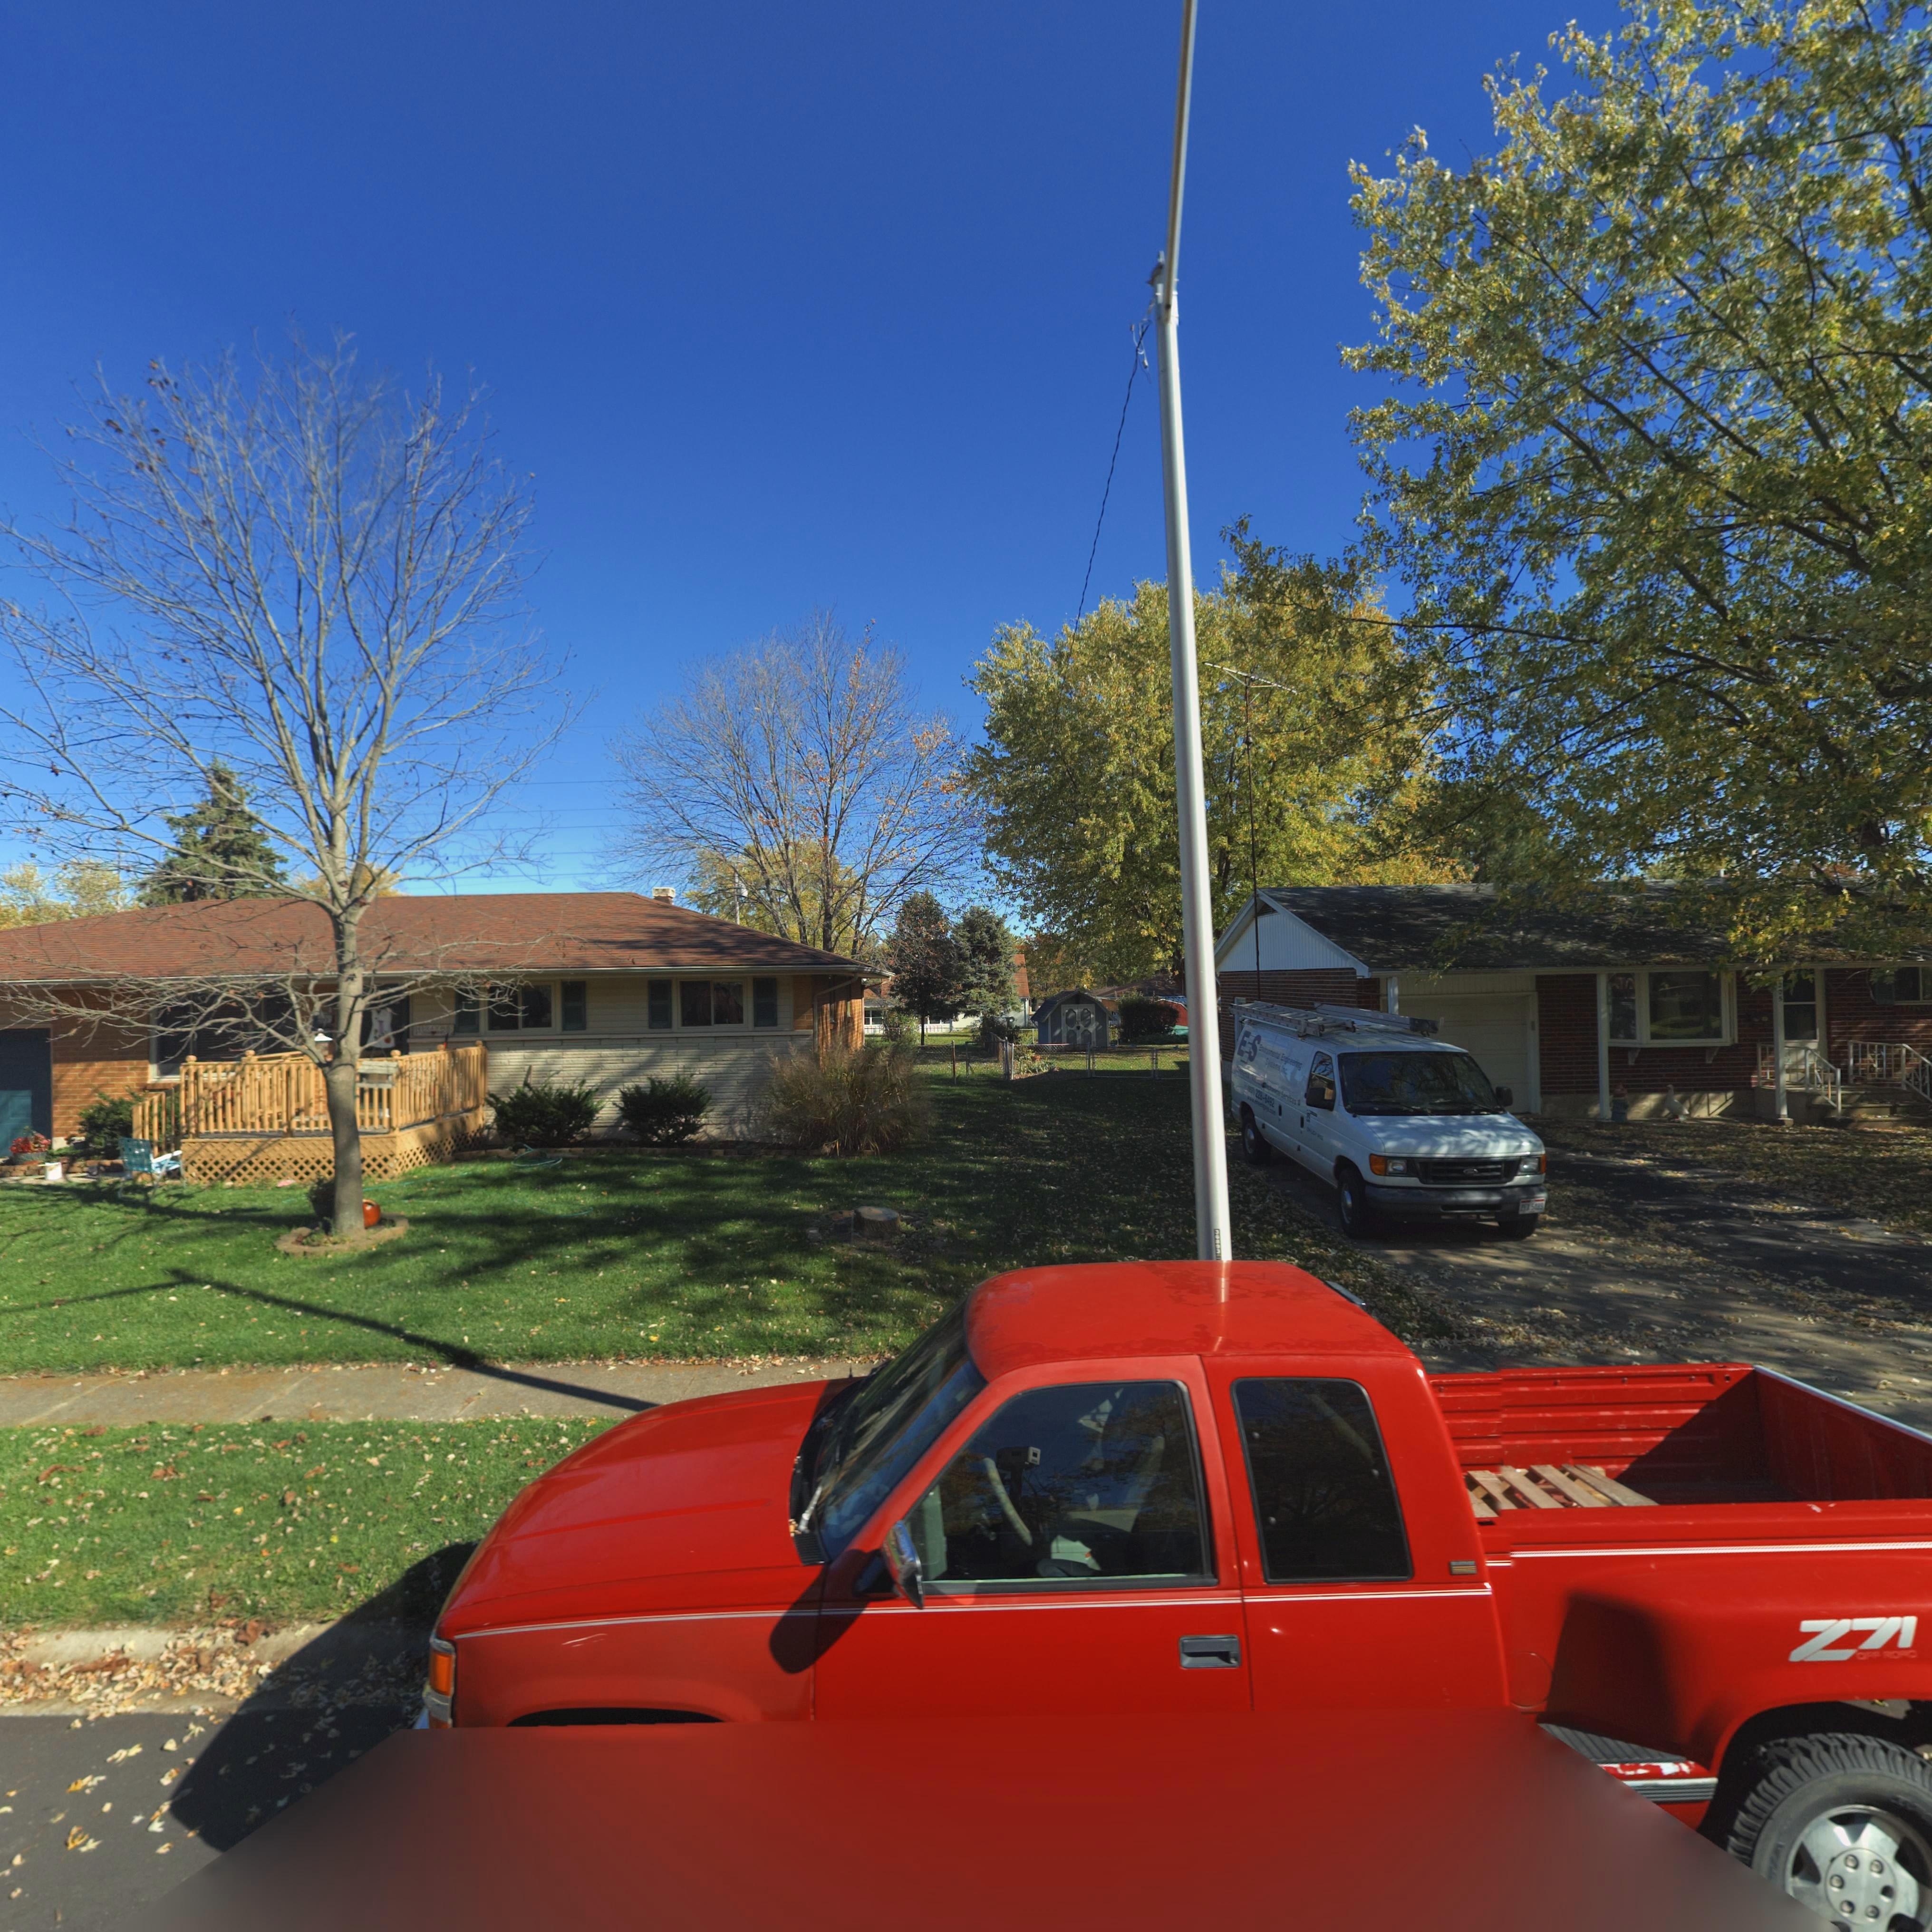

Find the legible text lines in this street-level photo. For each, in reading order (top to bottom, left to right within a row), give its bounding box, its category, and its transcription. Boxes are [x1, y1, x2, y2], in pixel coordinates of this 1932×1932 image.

[1777, 982, 1783, 1002] StreetNumber: *05